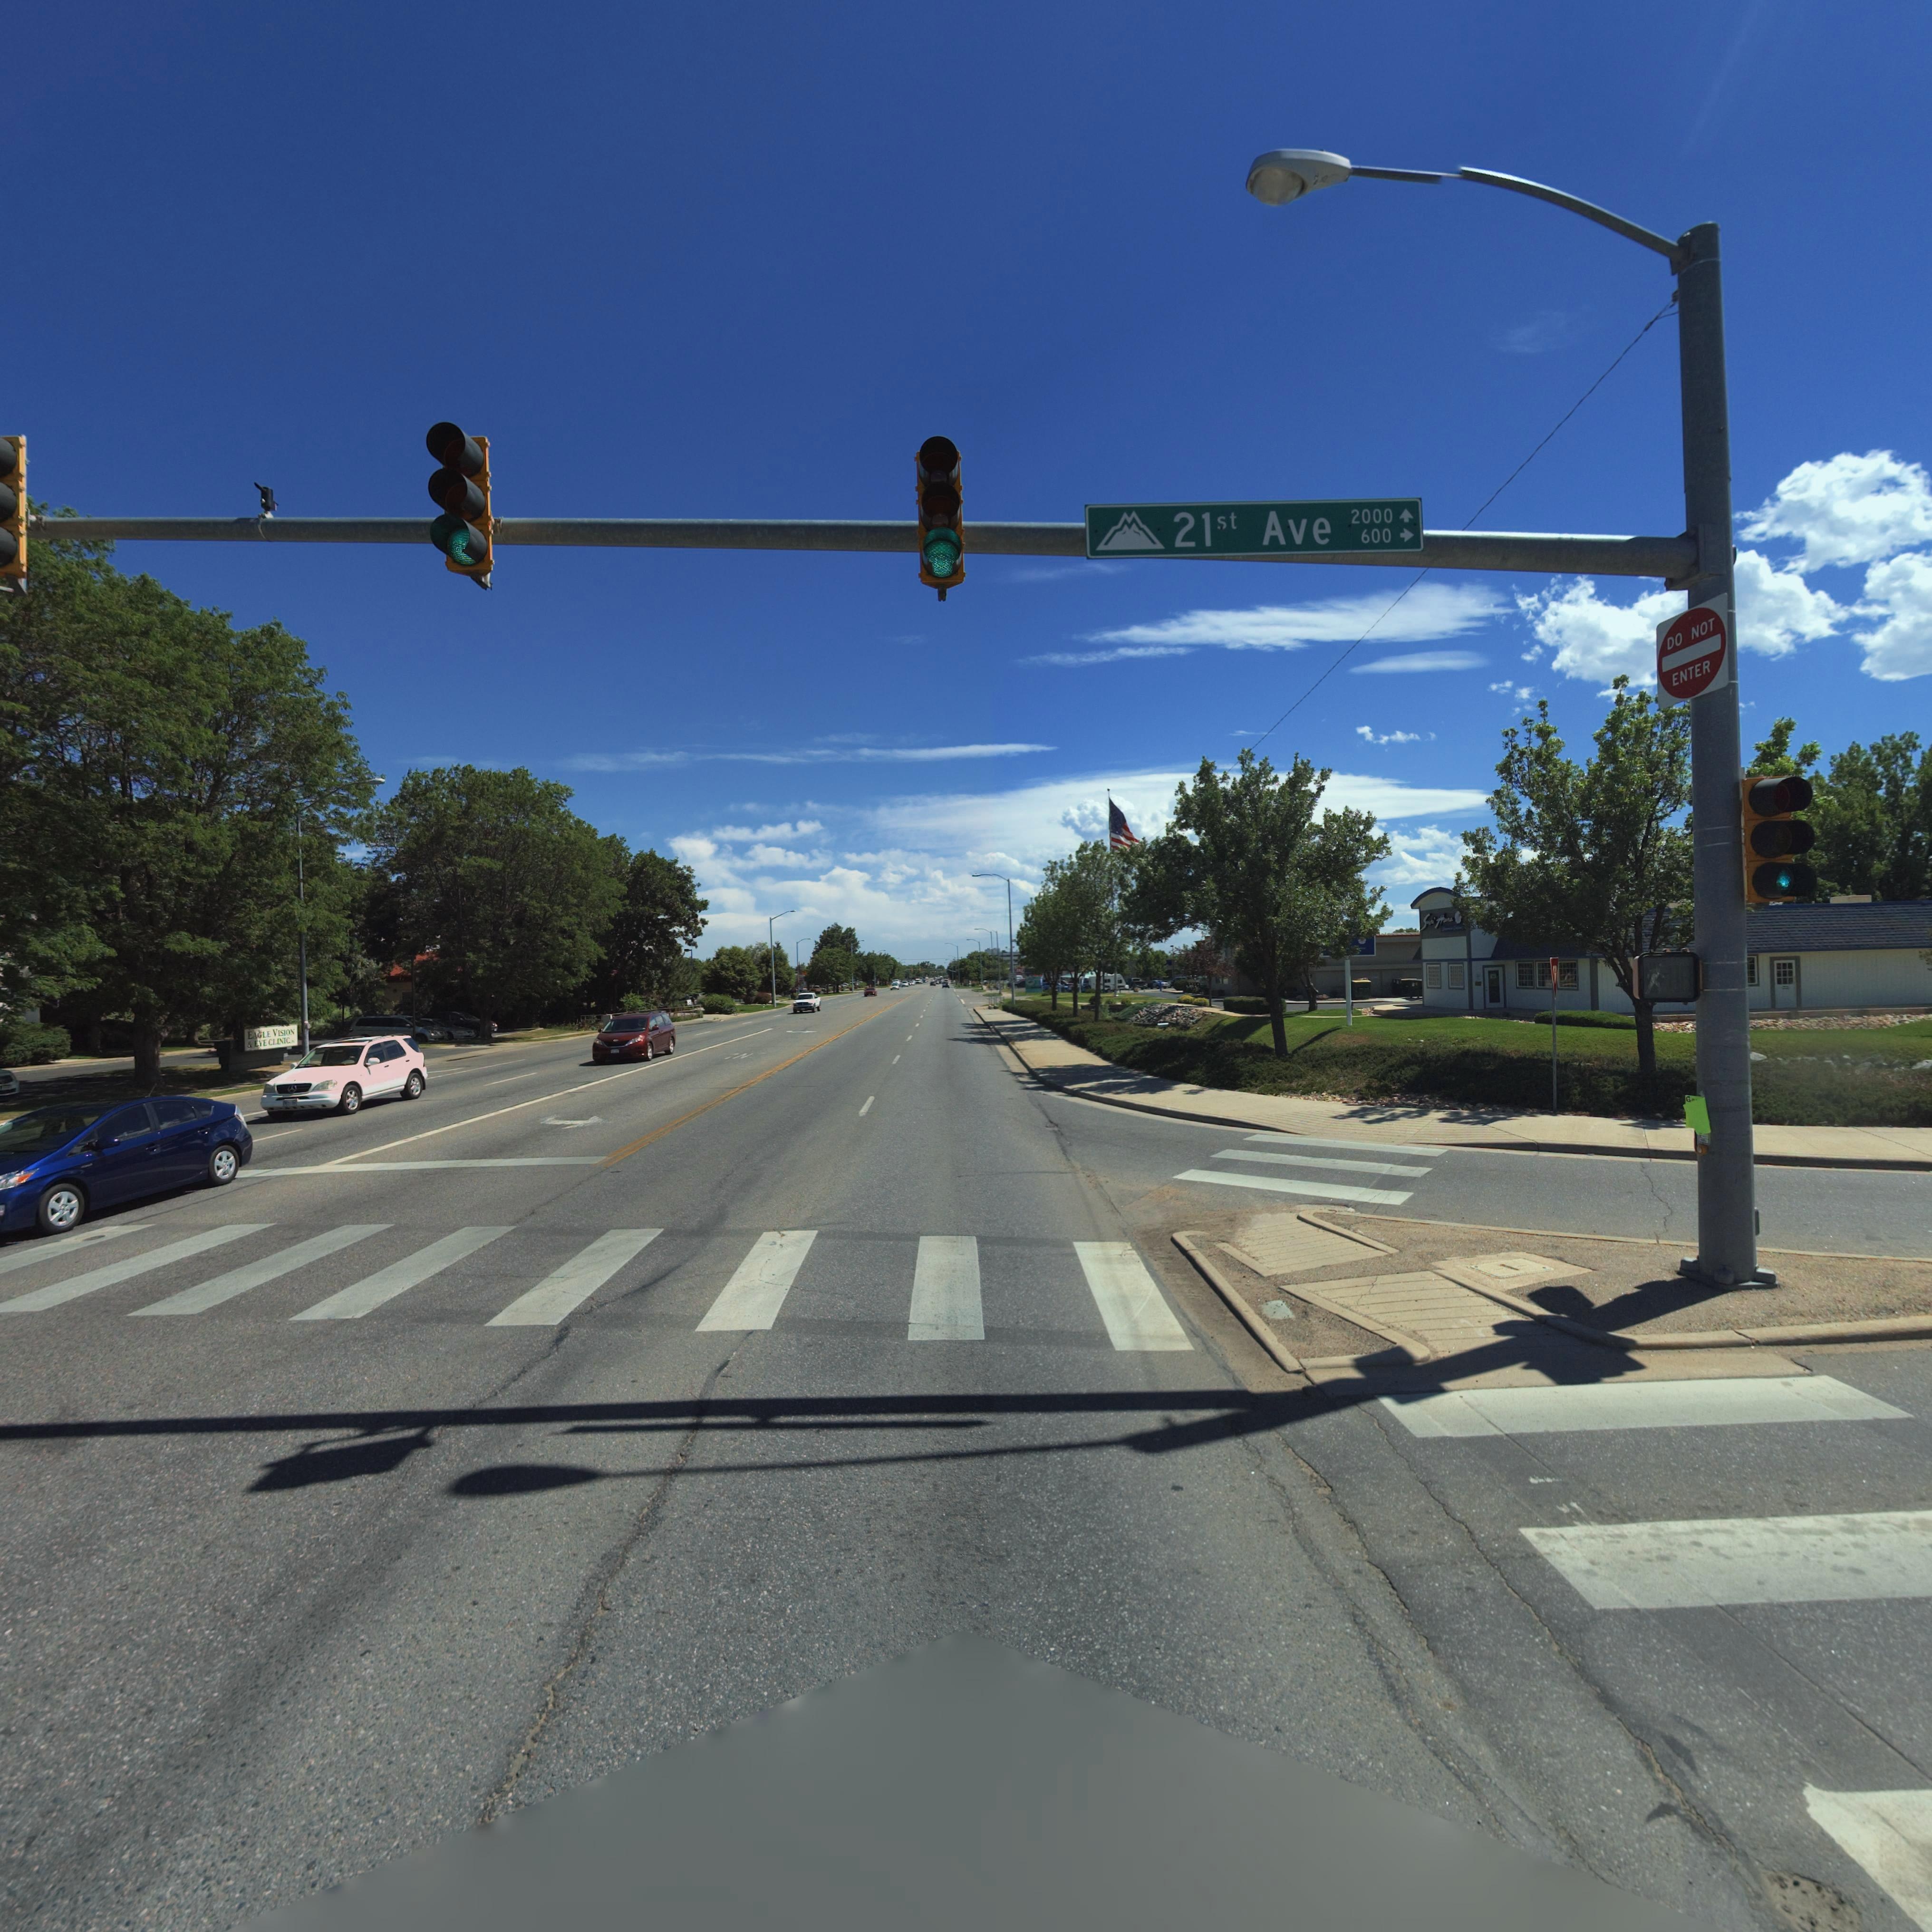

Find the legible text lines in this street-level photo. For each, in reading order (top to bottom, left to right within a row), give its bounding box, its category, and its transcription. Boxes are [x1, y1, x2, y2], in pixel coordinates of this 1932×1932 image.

[1350, 507, 1393, 524] StreetNumberRange: 2000
[1172, 510, 1332, 548] StreetName: 21st Ave
[1361, 527, 1415, 544] StreetNumberRange: 600 ->
[1420, 913, 1453, 931] BusinessName: Sushi Hana
[1015, 968, 1023, 972] BusinessName: DQ
[246, 1036, 290, 1048] BusinessName: * EYE CLINIC
[247, 1028, 295, 1040] BusinessName: EAGLE VISION